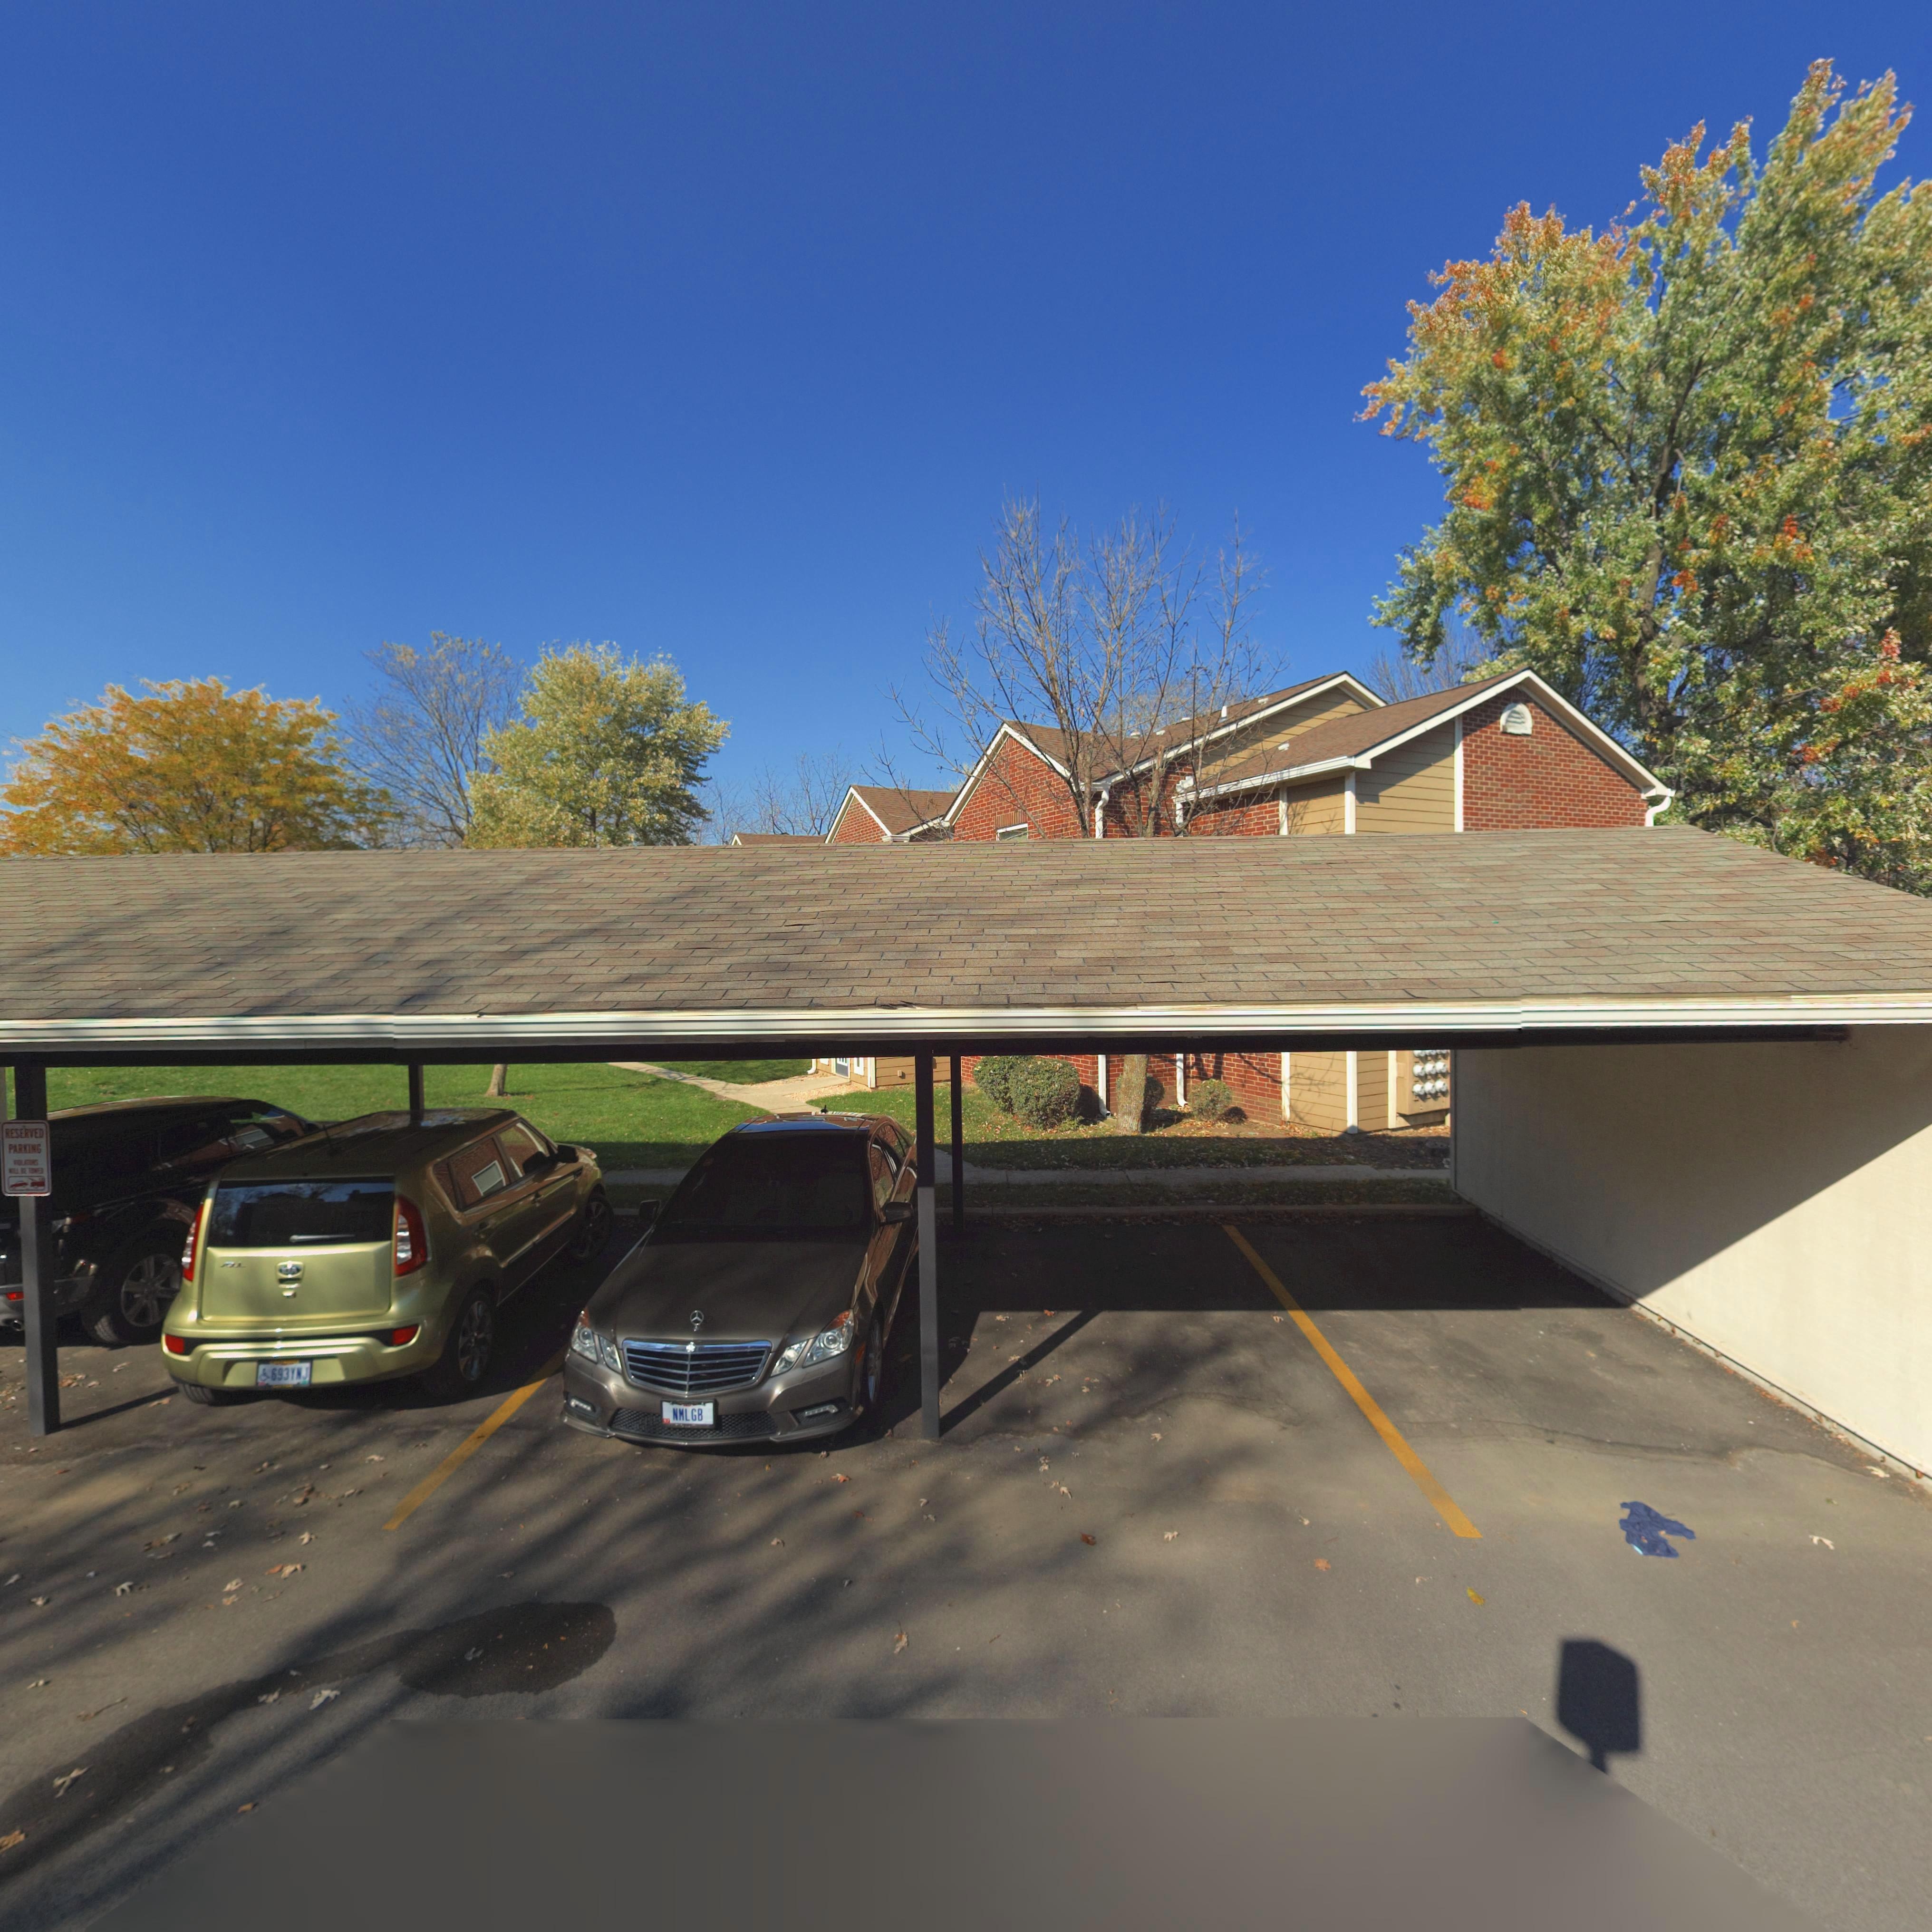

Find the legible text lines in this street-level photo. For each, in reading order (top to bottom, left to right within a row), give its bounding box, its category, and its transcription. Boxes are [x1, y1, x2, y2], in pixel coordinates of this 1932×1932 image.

[3, 1126, 46, 1140] None: RESERVED
[7, 1141, 43, 1156] None: PARKING
[269, 1365, 310, 1382] None: 693YNJ
[672, 1407, 704, 1423] None: NMLGB